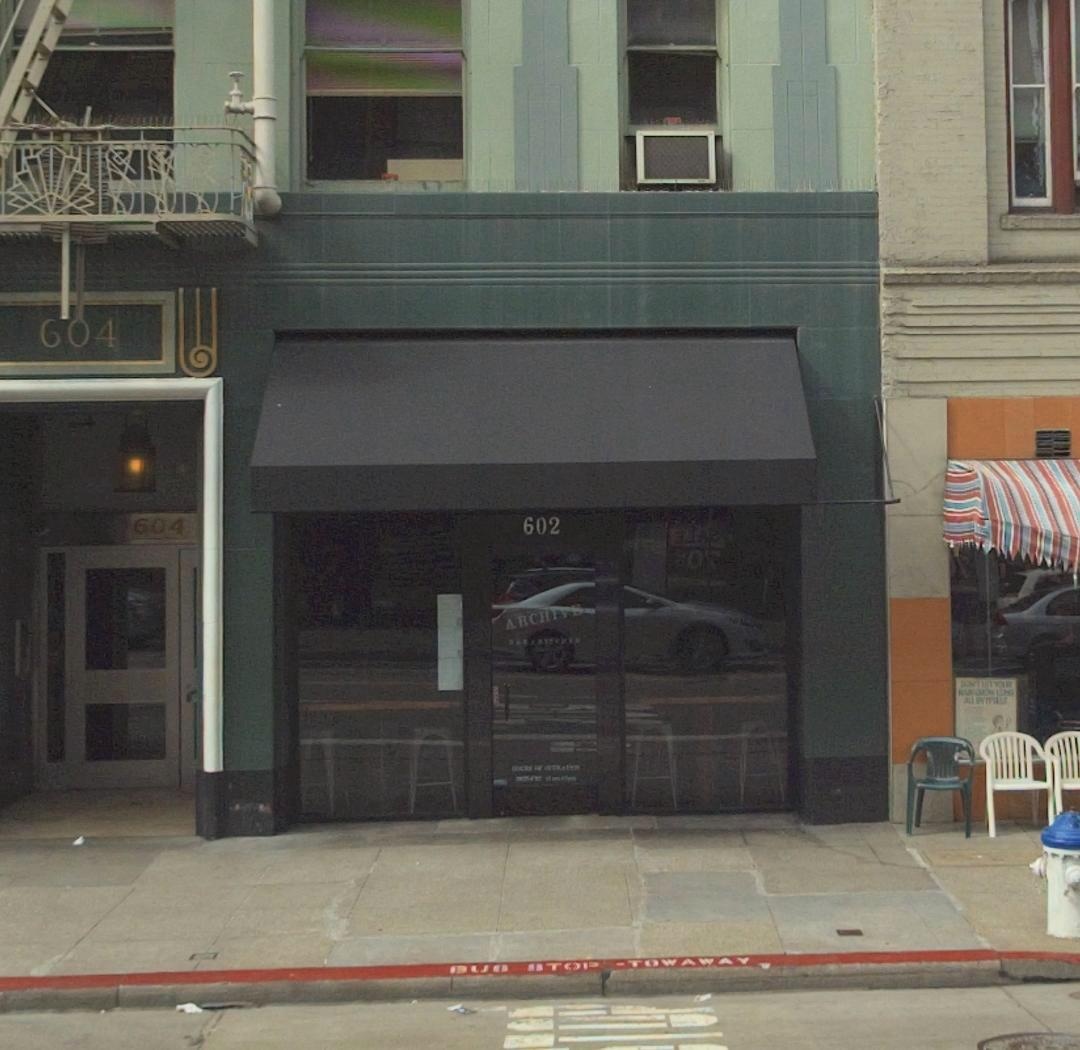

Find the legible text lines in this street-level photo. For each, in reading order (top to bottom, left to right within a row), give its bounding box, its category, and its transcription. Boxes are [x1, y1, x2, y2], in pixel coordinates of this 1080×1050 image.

[37, 315, 119, 351] StreetNumber: 604
[132, 515, 187, 538] StreetNumber: 604
[521, 514, 562, 537] StreetNumber: 602
[671, 525, 724, 547] None: **A*
[684, 544, 726, 573] None: 0*
[501, 605, 557, 633] None: ARCH
[447, 954, 753, 977] None: BUS STOP - TOW AWAY
[499, 1000, 728, 1050] None: TOP